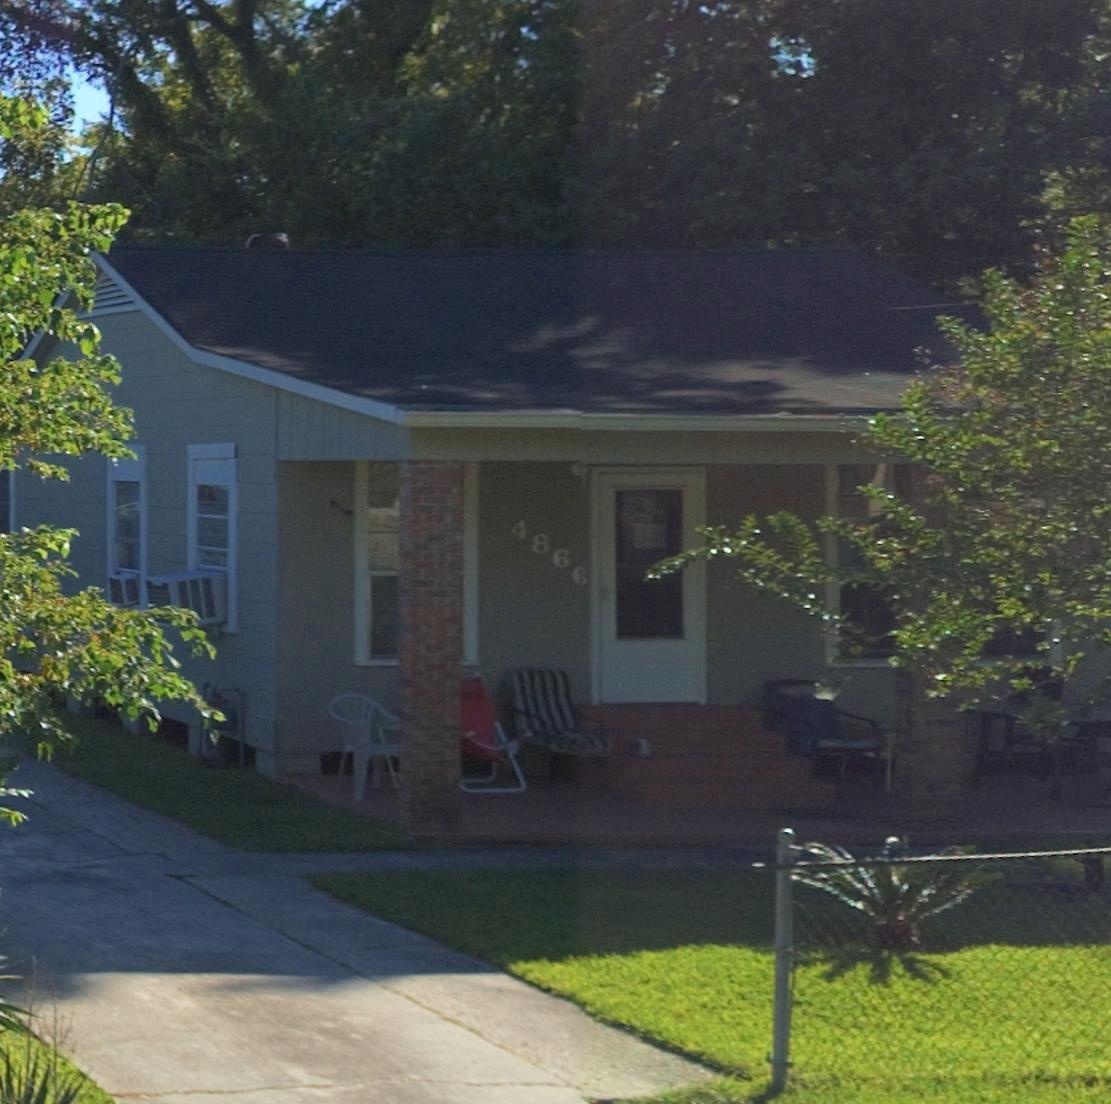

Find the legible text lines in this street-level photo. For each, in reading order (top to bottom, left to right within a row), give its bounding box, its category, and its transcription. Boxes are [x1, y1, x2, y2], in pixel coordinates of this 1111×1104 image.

[508, 517, 591, 589] StreetNumber: 4866